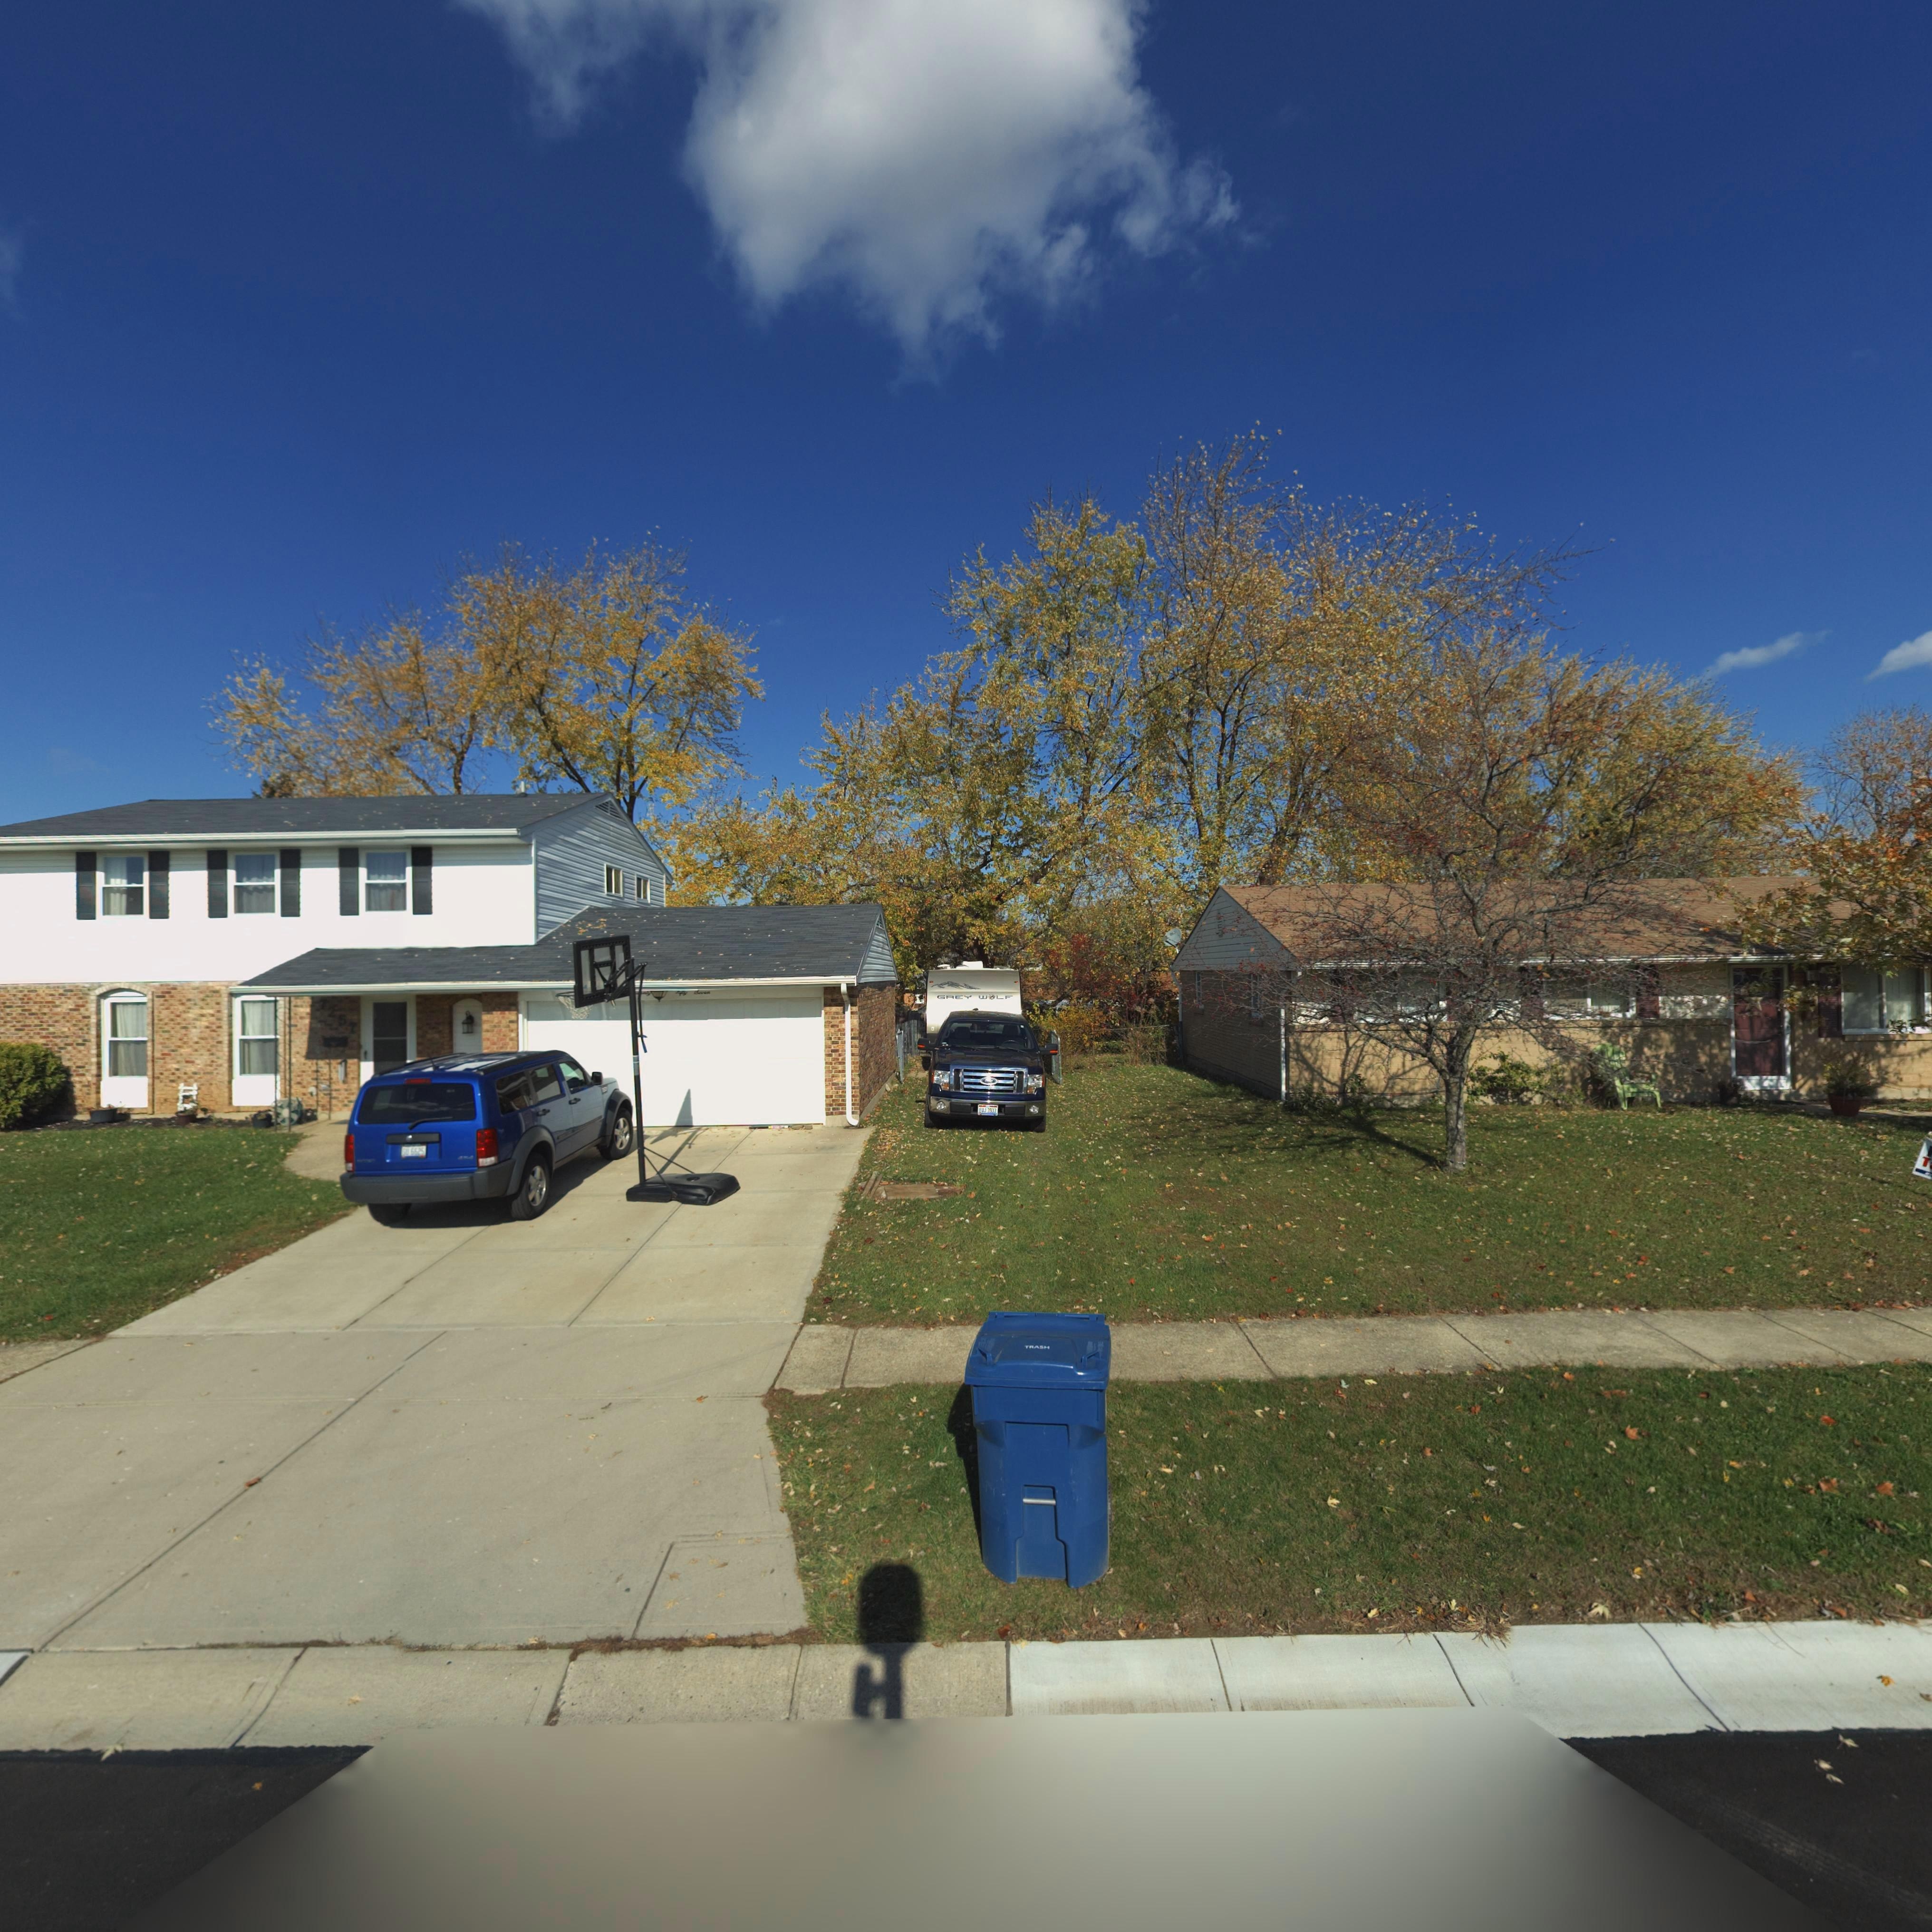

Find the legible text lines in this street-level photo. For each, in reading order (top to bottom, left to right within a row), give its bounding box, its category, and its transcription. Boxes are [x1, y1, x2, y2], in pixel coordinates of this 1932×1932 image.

[318, 998, 358, 1036] StreetNumber: 7257